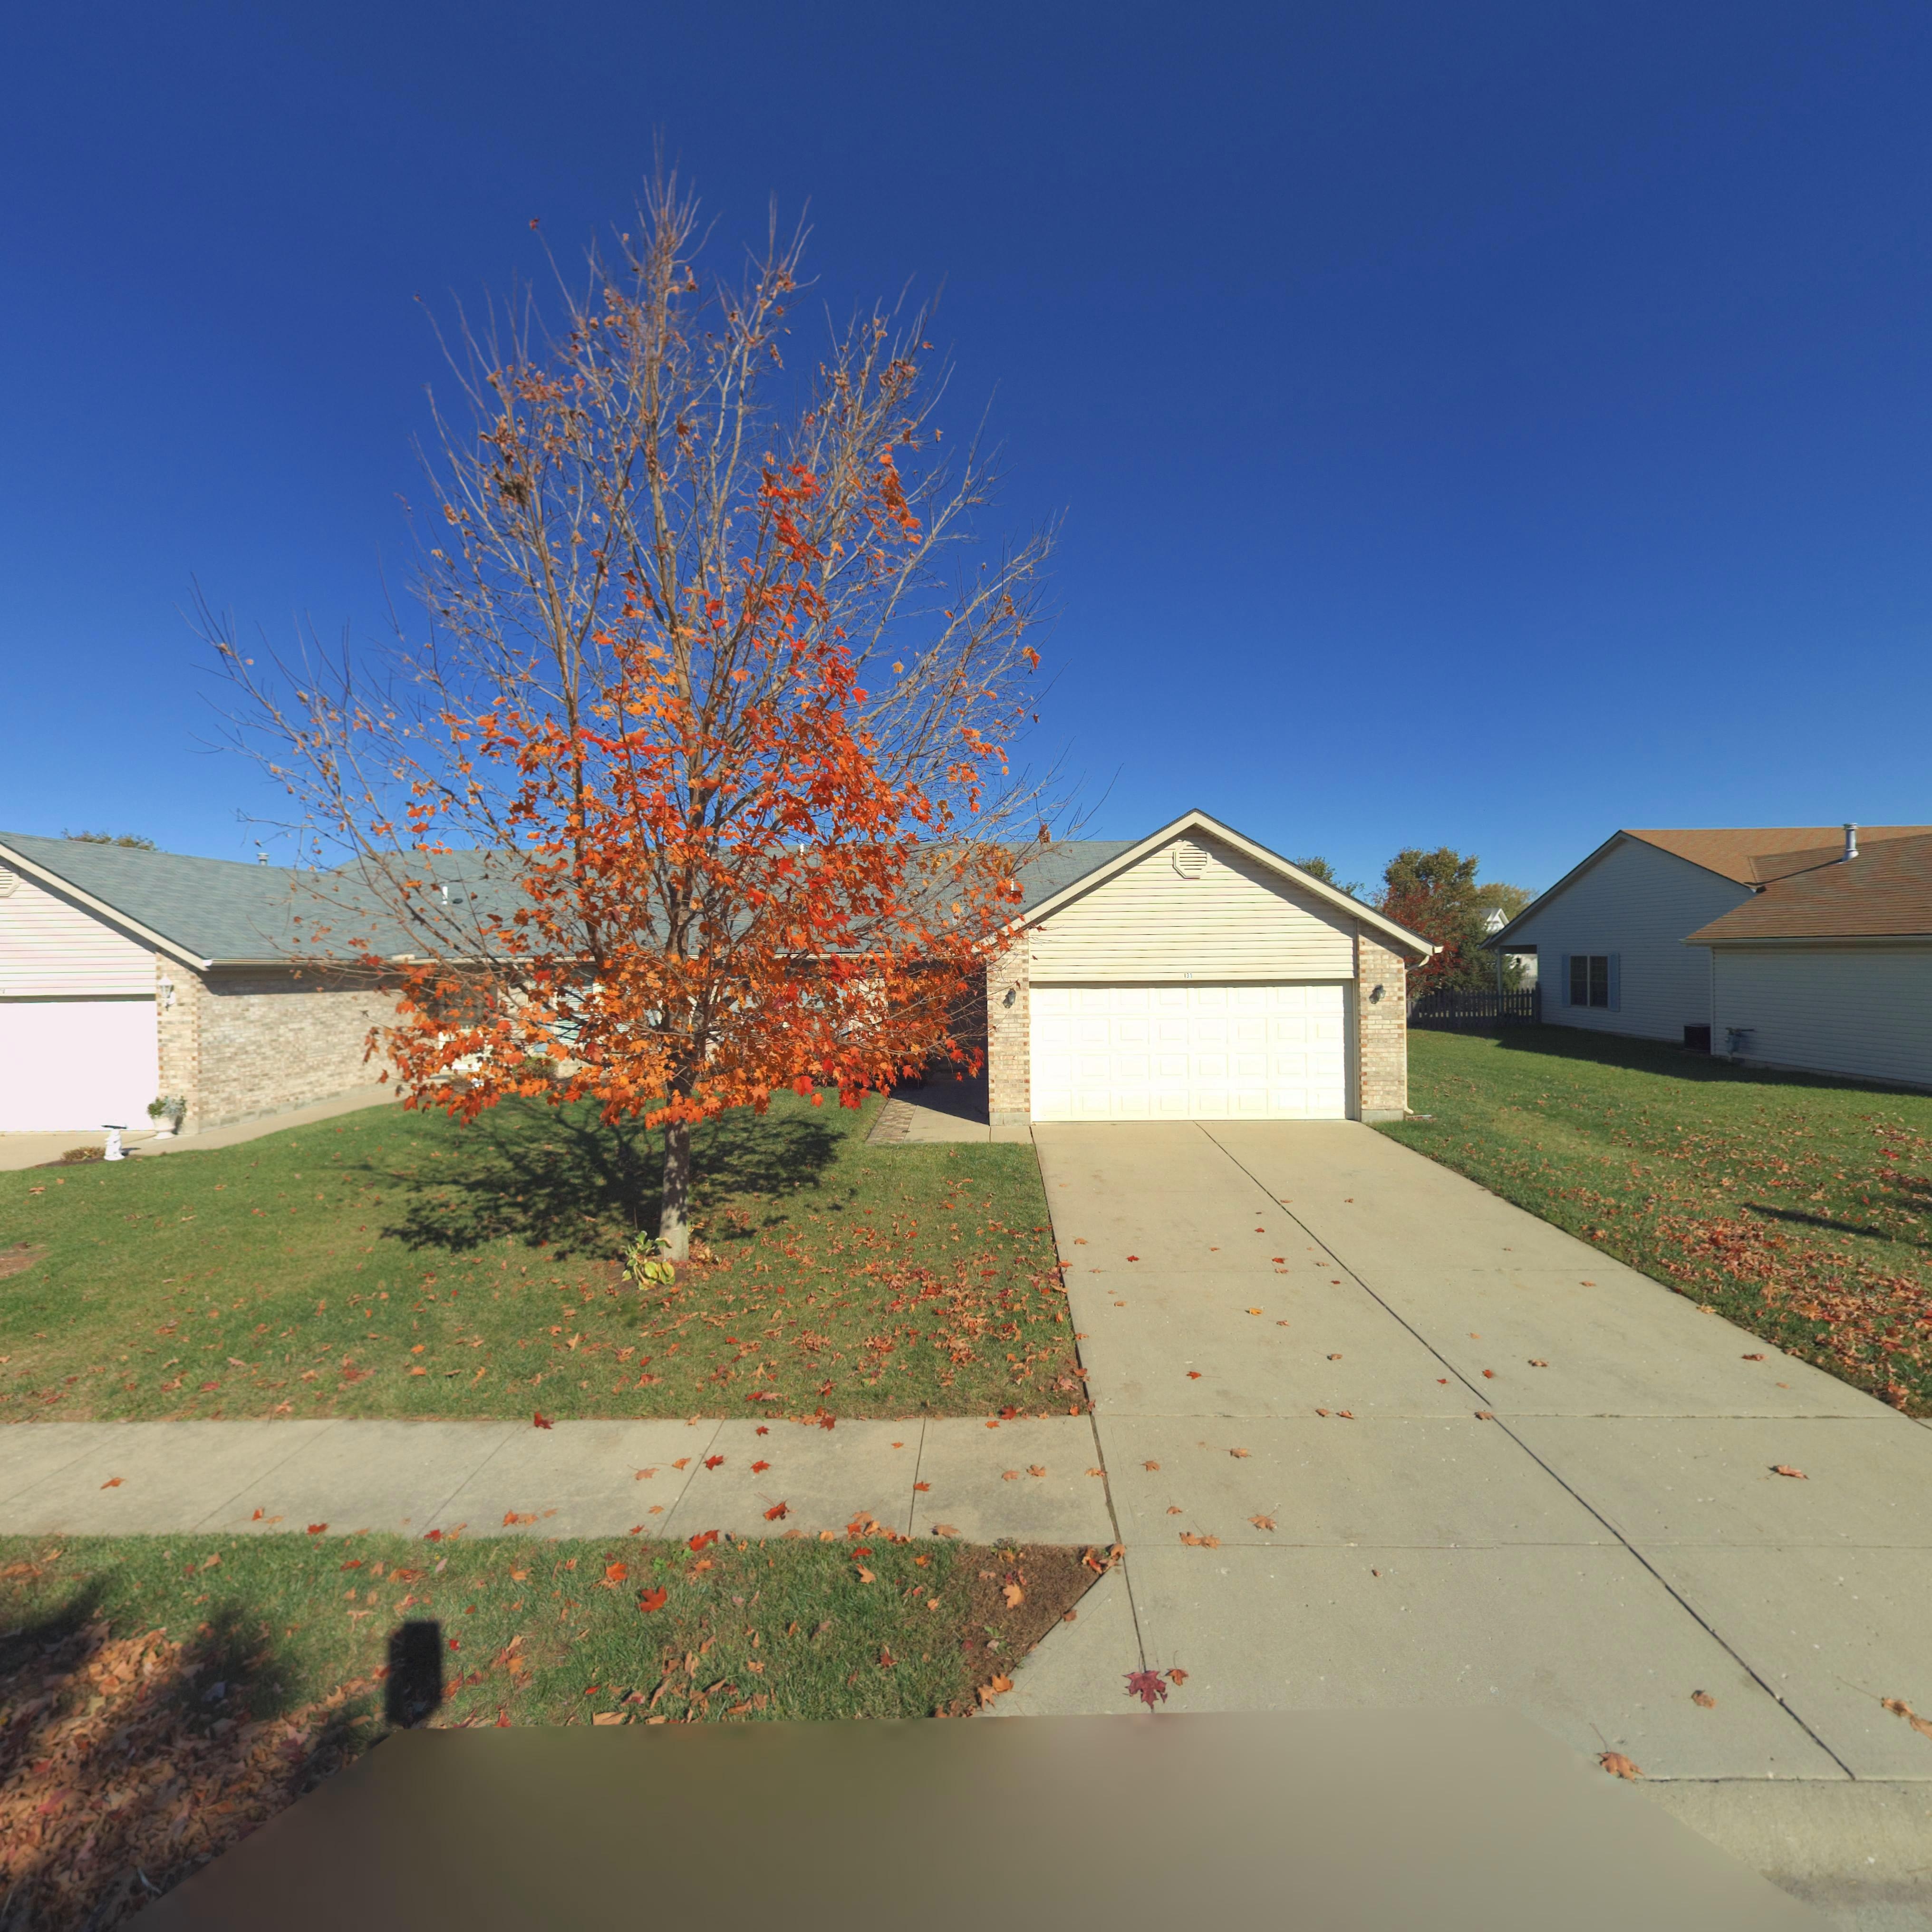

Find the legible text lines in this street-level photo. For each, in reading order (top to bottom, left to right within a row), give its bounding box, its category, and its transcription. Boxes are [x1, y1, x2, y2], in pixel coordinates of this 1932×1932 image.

[1184, 972, 1192, 978] StreetNumber: 131